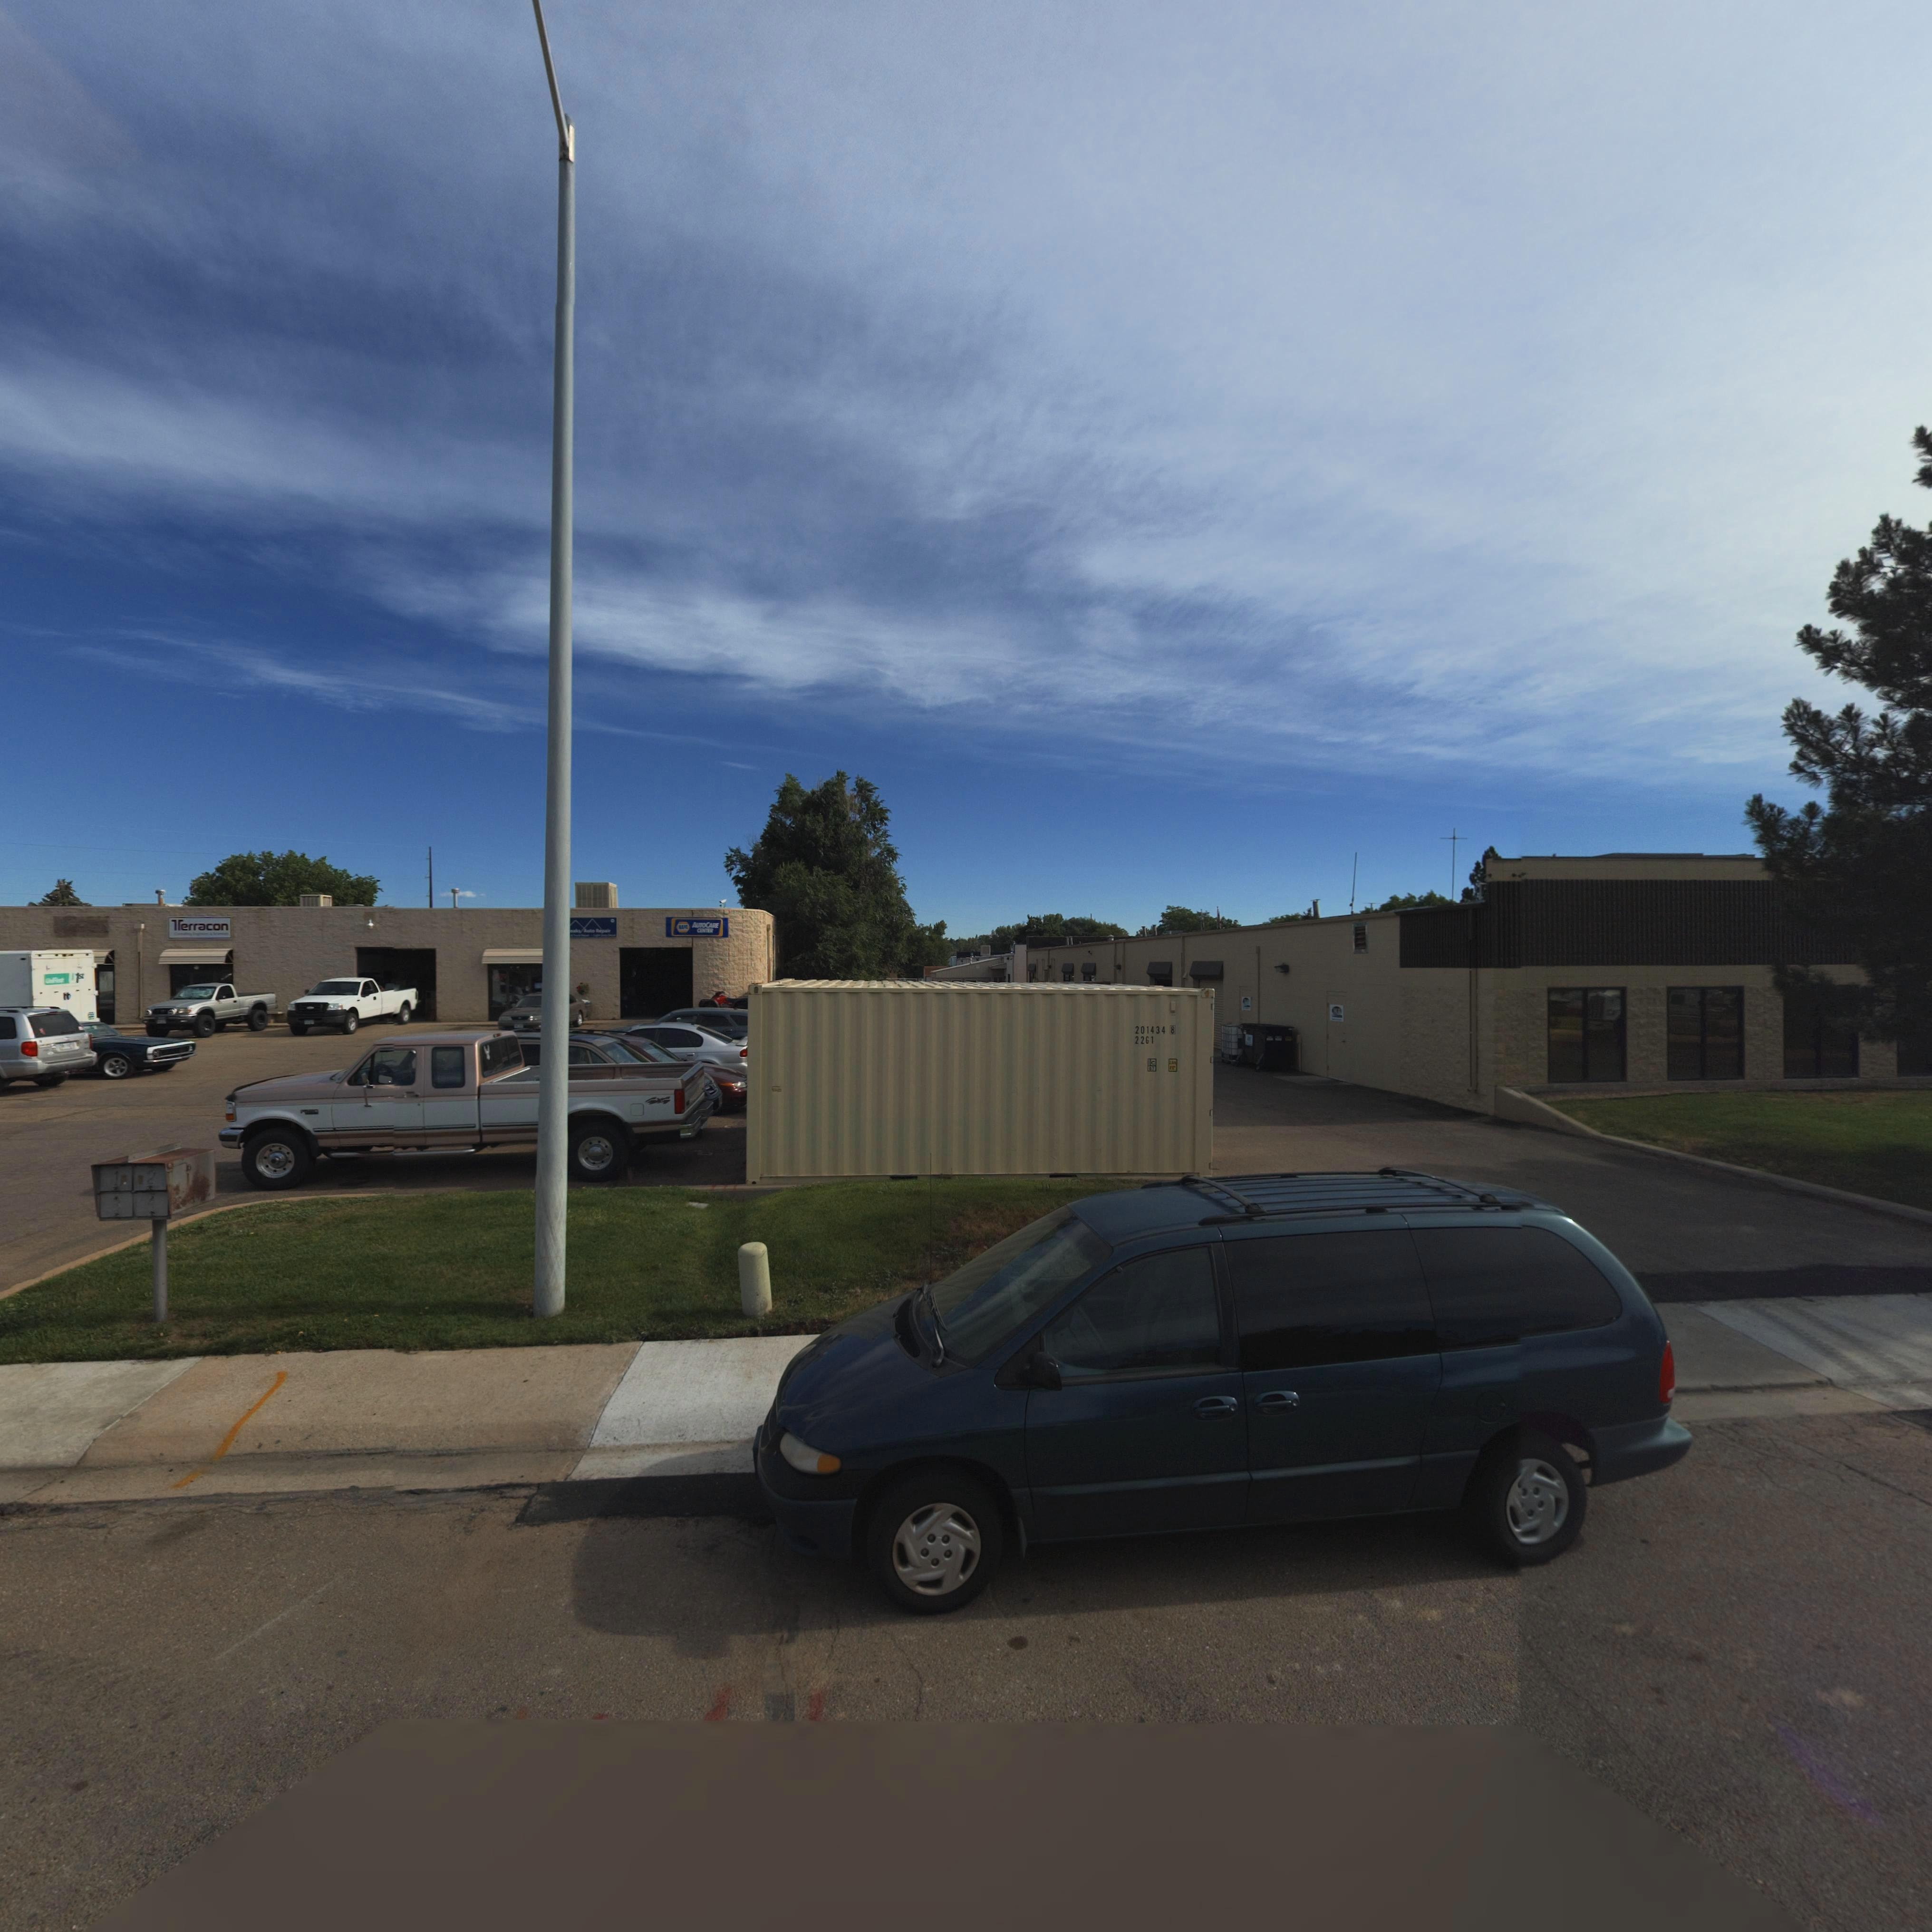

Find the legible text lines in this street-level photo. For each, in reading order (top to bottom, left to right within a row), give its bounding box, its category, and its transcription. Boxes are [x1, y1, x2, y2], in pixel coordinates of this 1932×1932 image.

[171, 919, 228, 930] BusinessName: *erracon
[678, 924, 687, 929] BusinessName: *APA
[112, 1171, 120, 1186] StreetNumber: 1
[145, 1169, 156, 1184] StreetNumber: 2
[112, 1197, 121, 1212] StreetNumber: 3
[146, 1194, 158, 1209] StreetNumber: 4